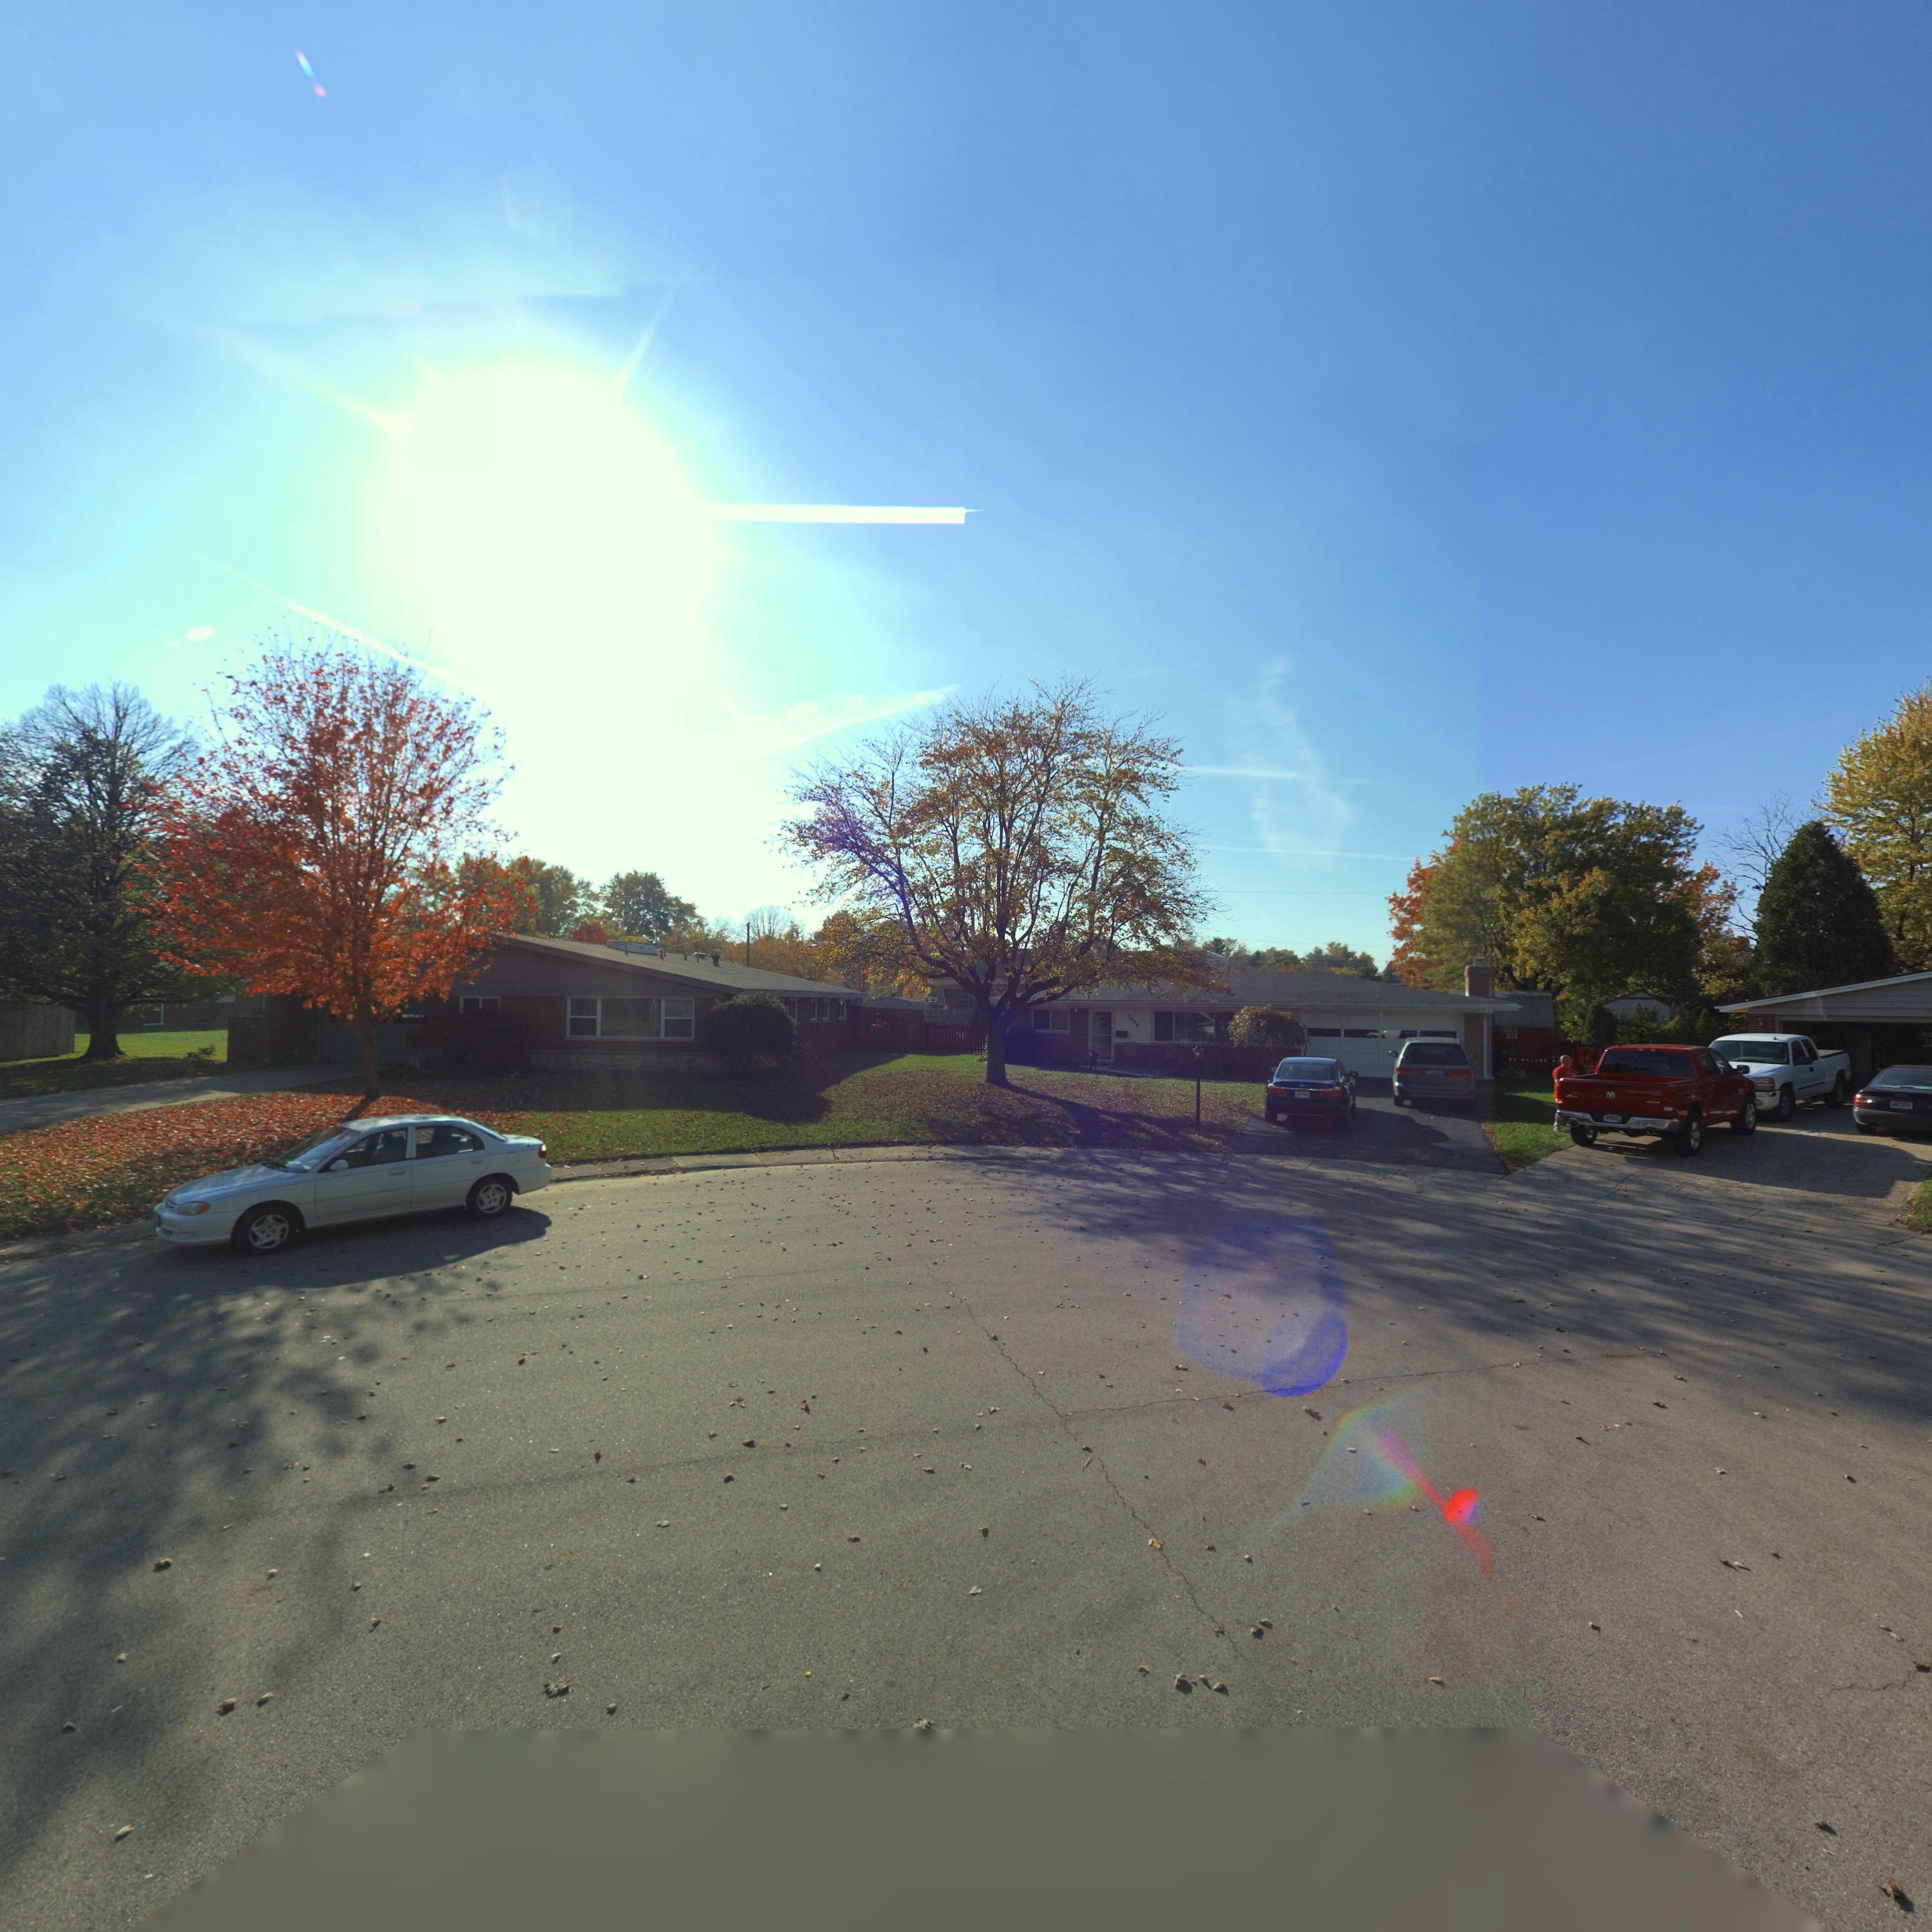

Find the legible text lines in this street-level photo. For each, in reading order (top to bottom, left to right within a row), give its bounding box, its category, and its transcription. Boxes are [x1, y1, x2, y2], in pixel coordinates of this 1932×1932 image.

[1126, 1014, 1140, 1028] StreetNumber: 3009